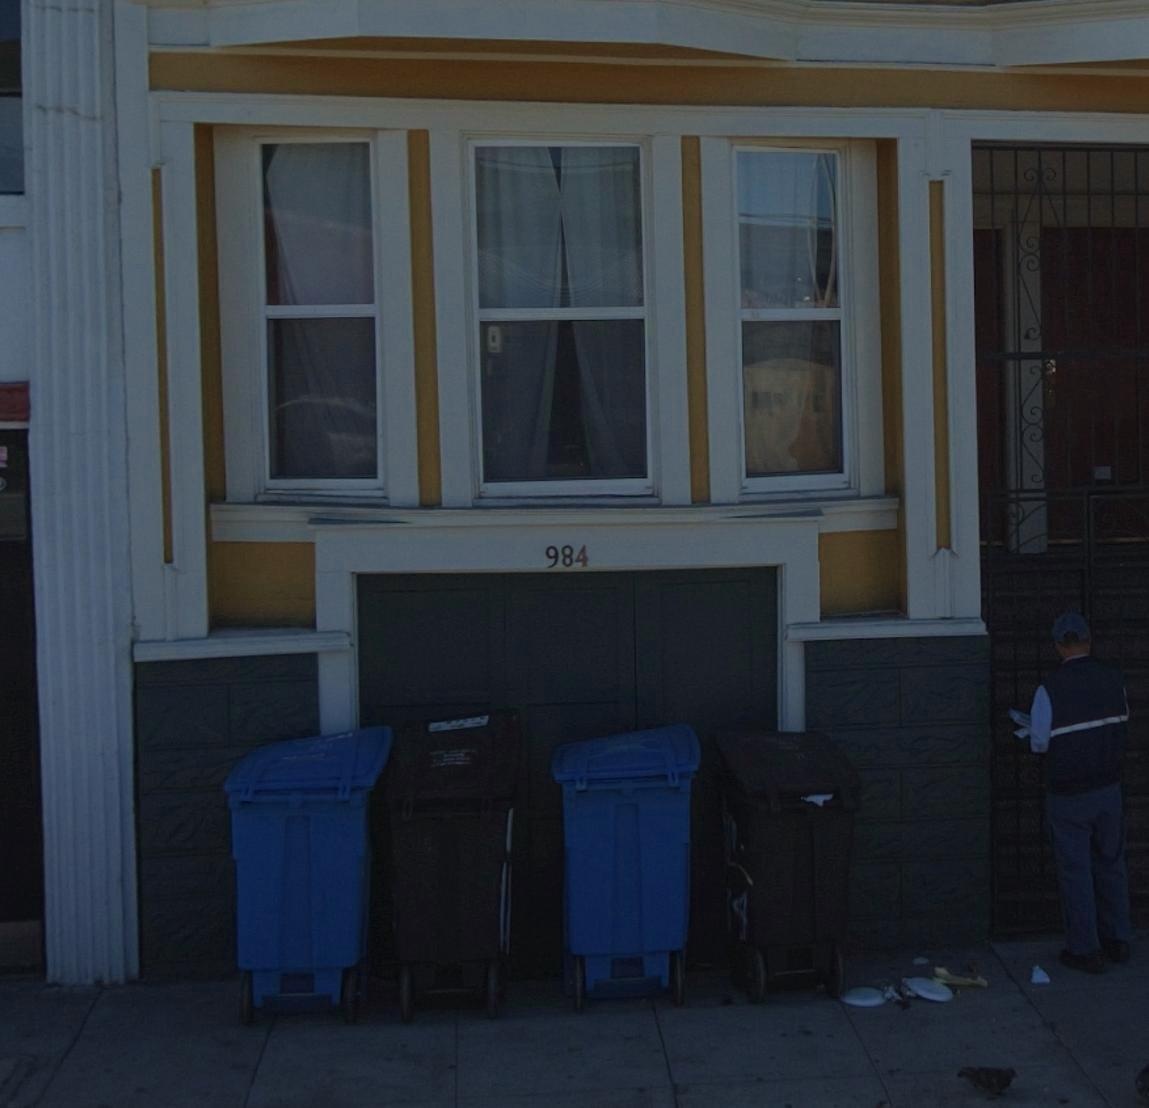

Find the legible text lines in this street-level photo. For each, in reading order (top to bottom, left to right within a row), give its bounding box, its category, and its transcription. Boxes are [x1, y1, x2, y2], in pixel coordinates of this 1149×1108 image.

[544, 544, 589, 570] StreetNumber: 984